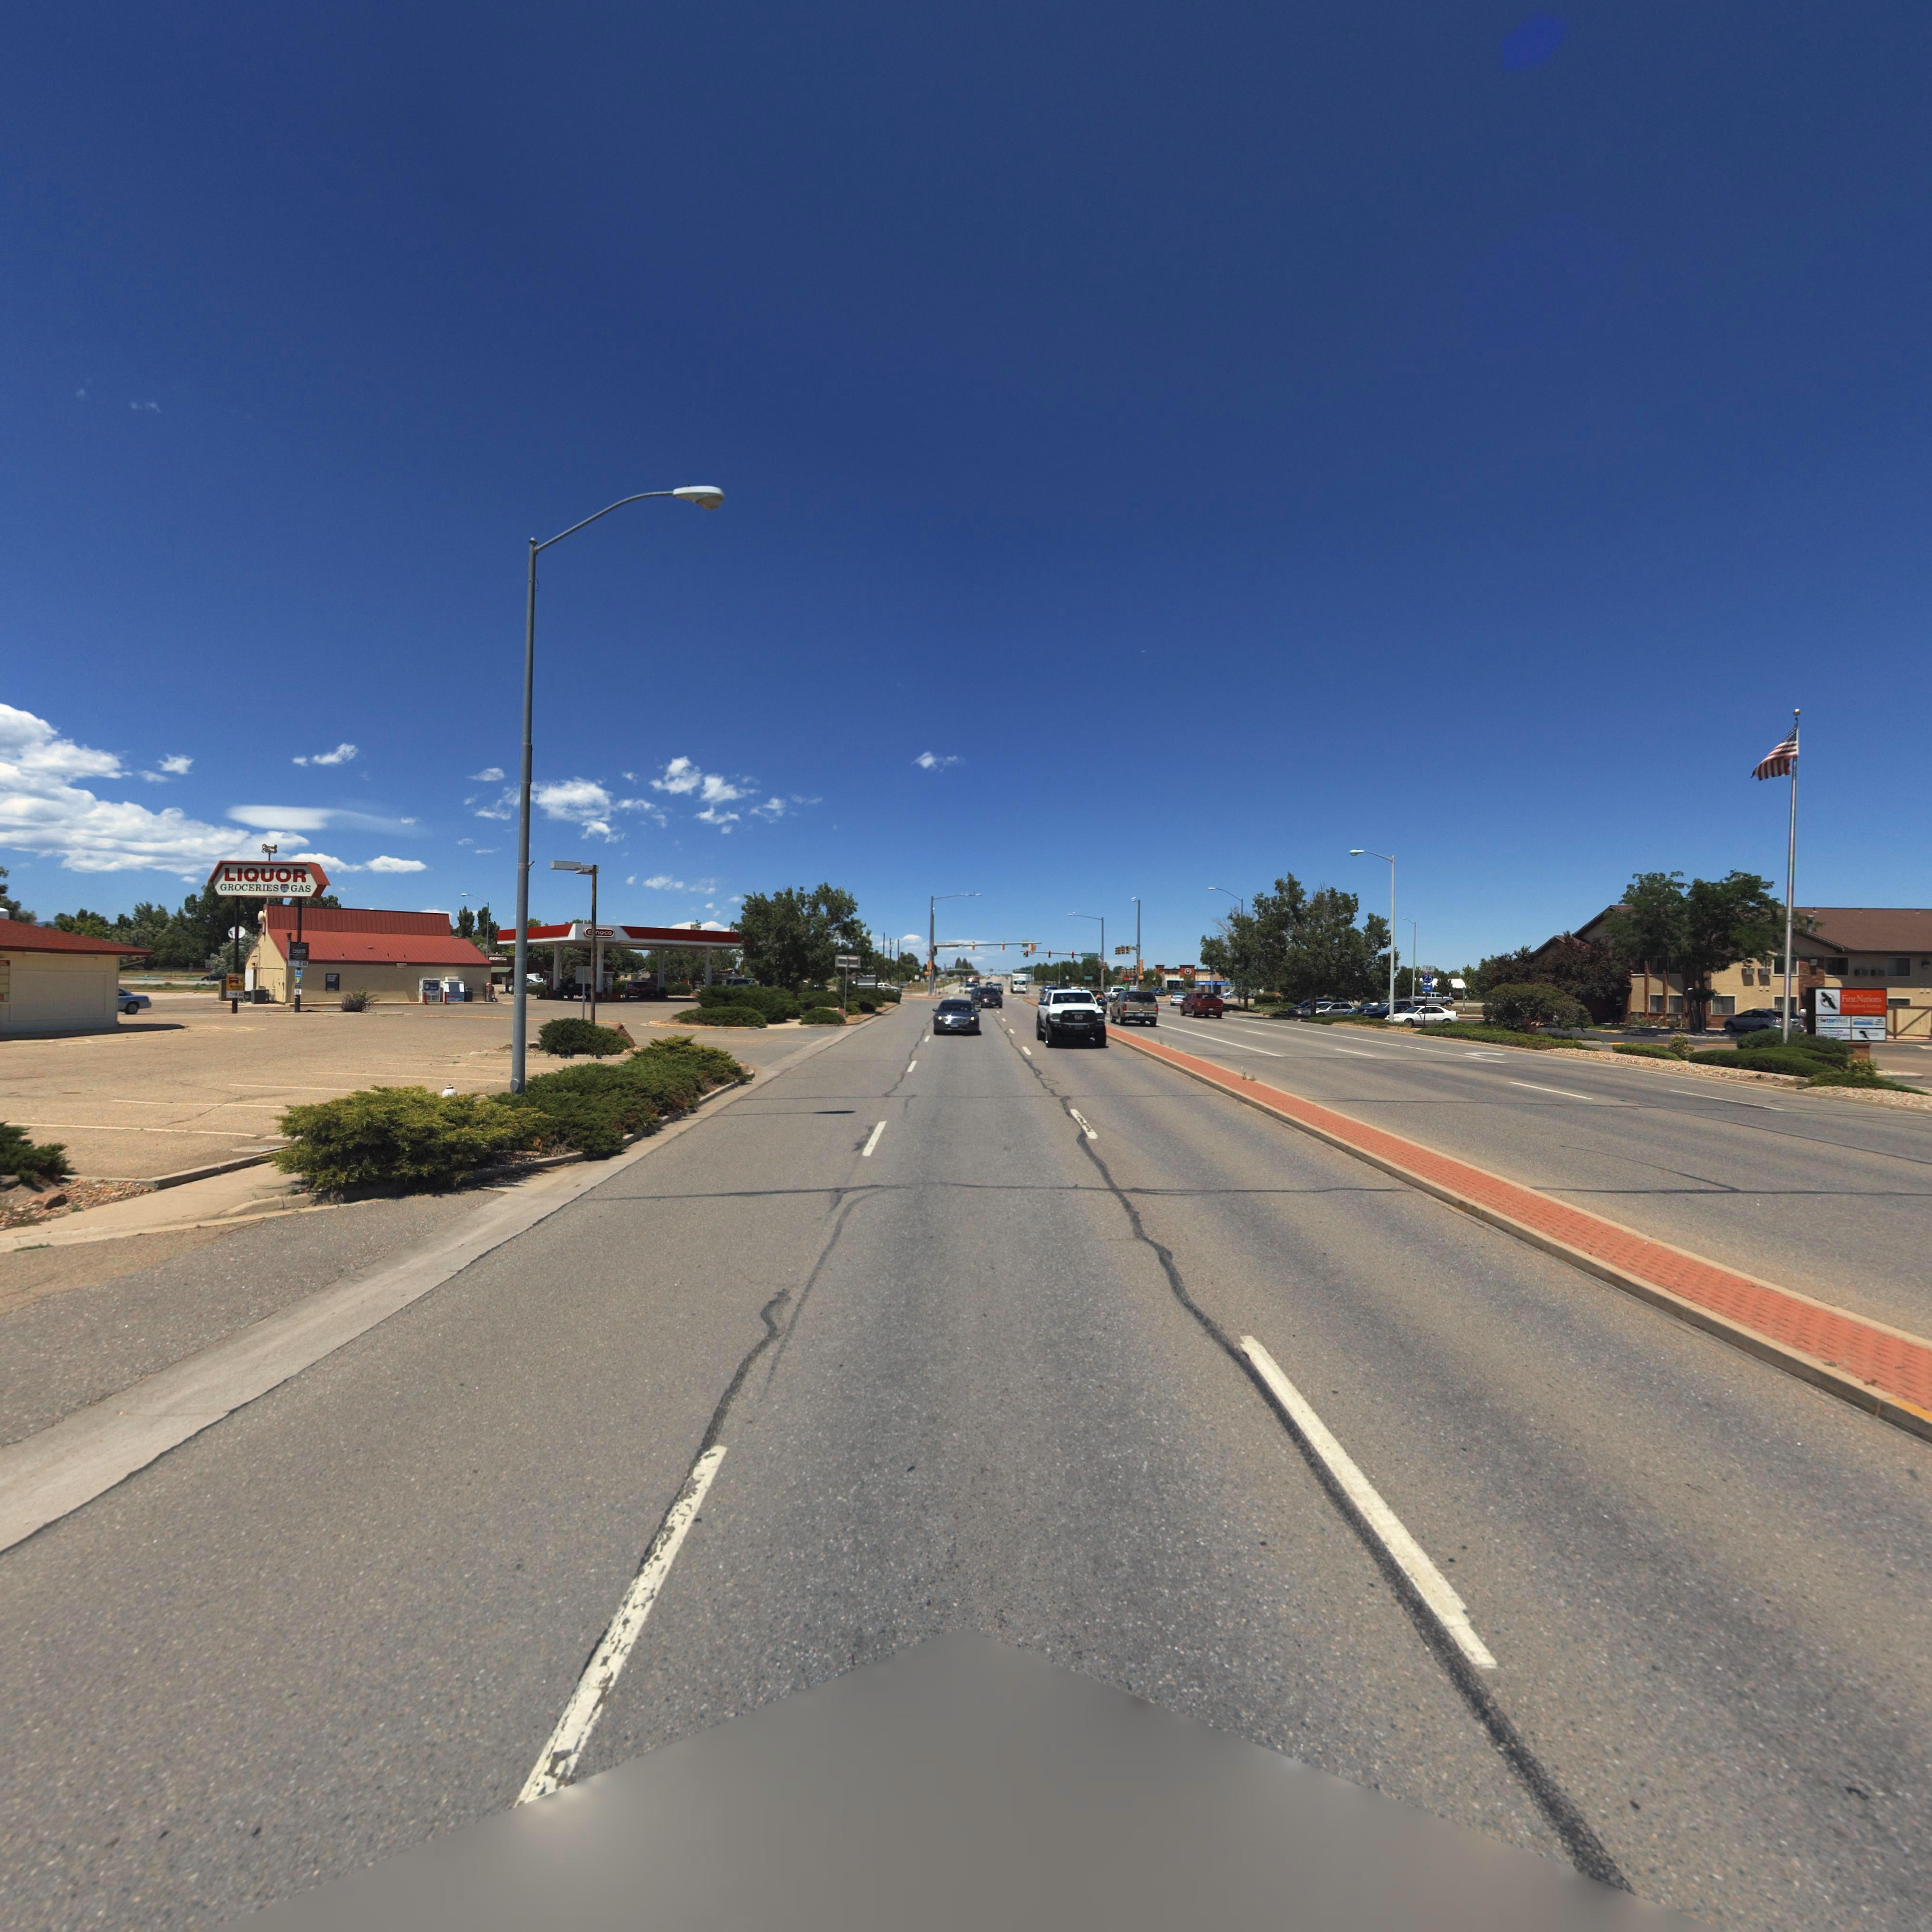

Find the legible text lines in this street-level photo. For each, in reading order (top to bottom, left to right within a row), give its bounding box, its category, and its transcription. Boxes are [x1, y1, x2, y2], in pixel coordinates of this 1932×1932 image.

[587, 930, 612, 935] BusinessName: c*noco
[1841, 995, 1882, 1003] BusinessName: First National